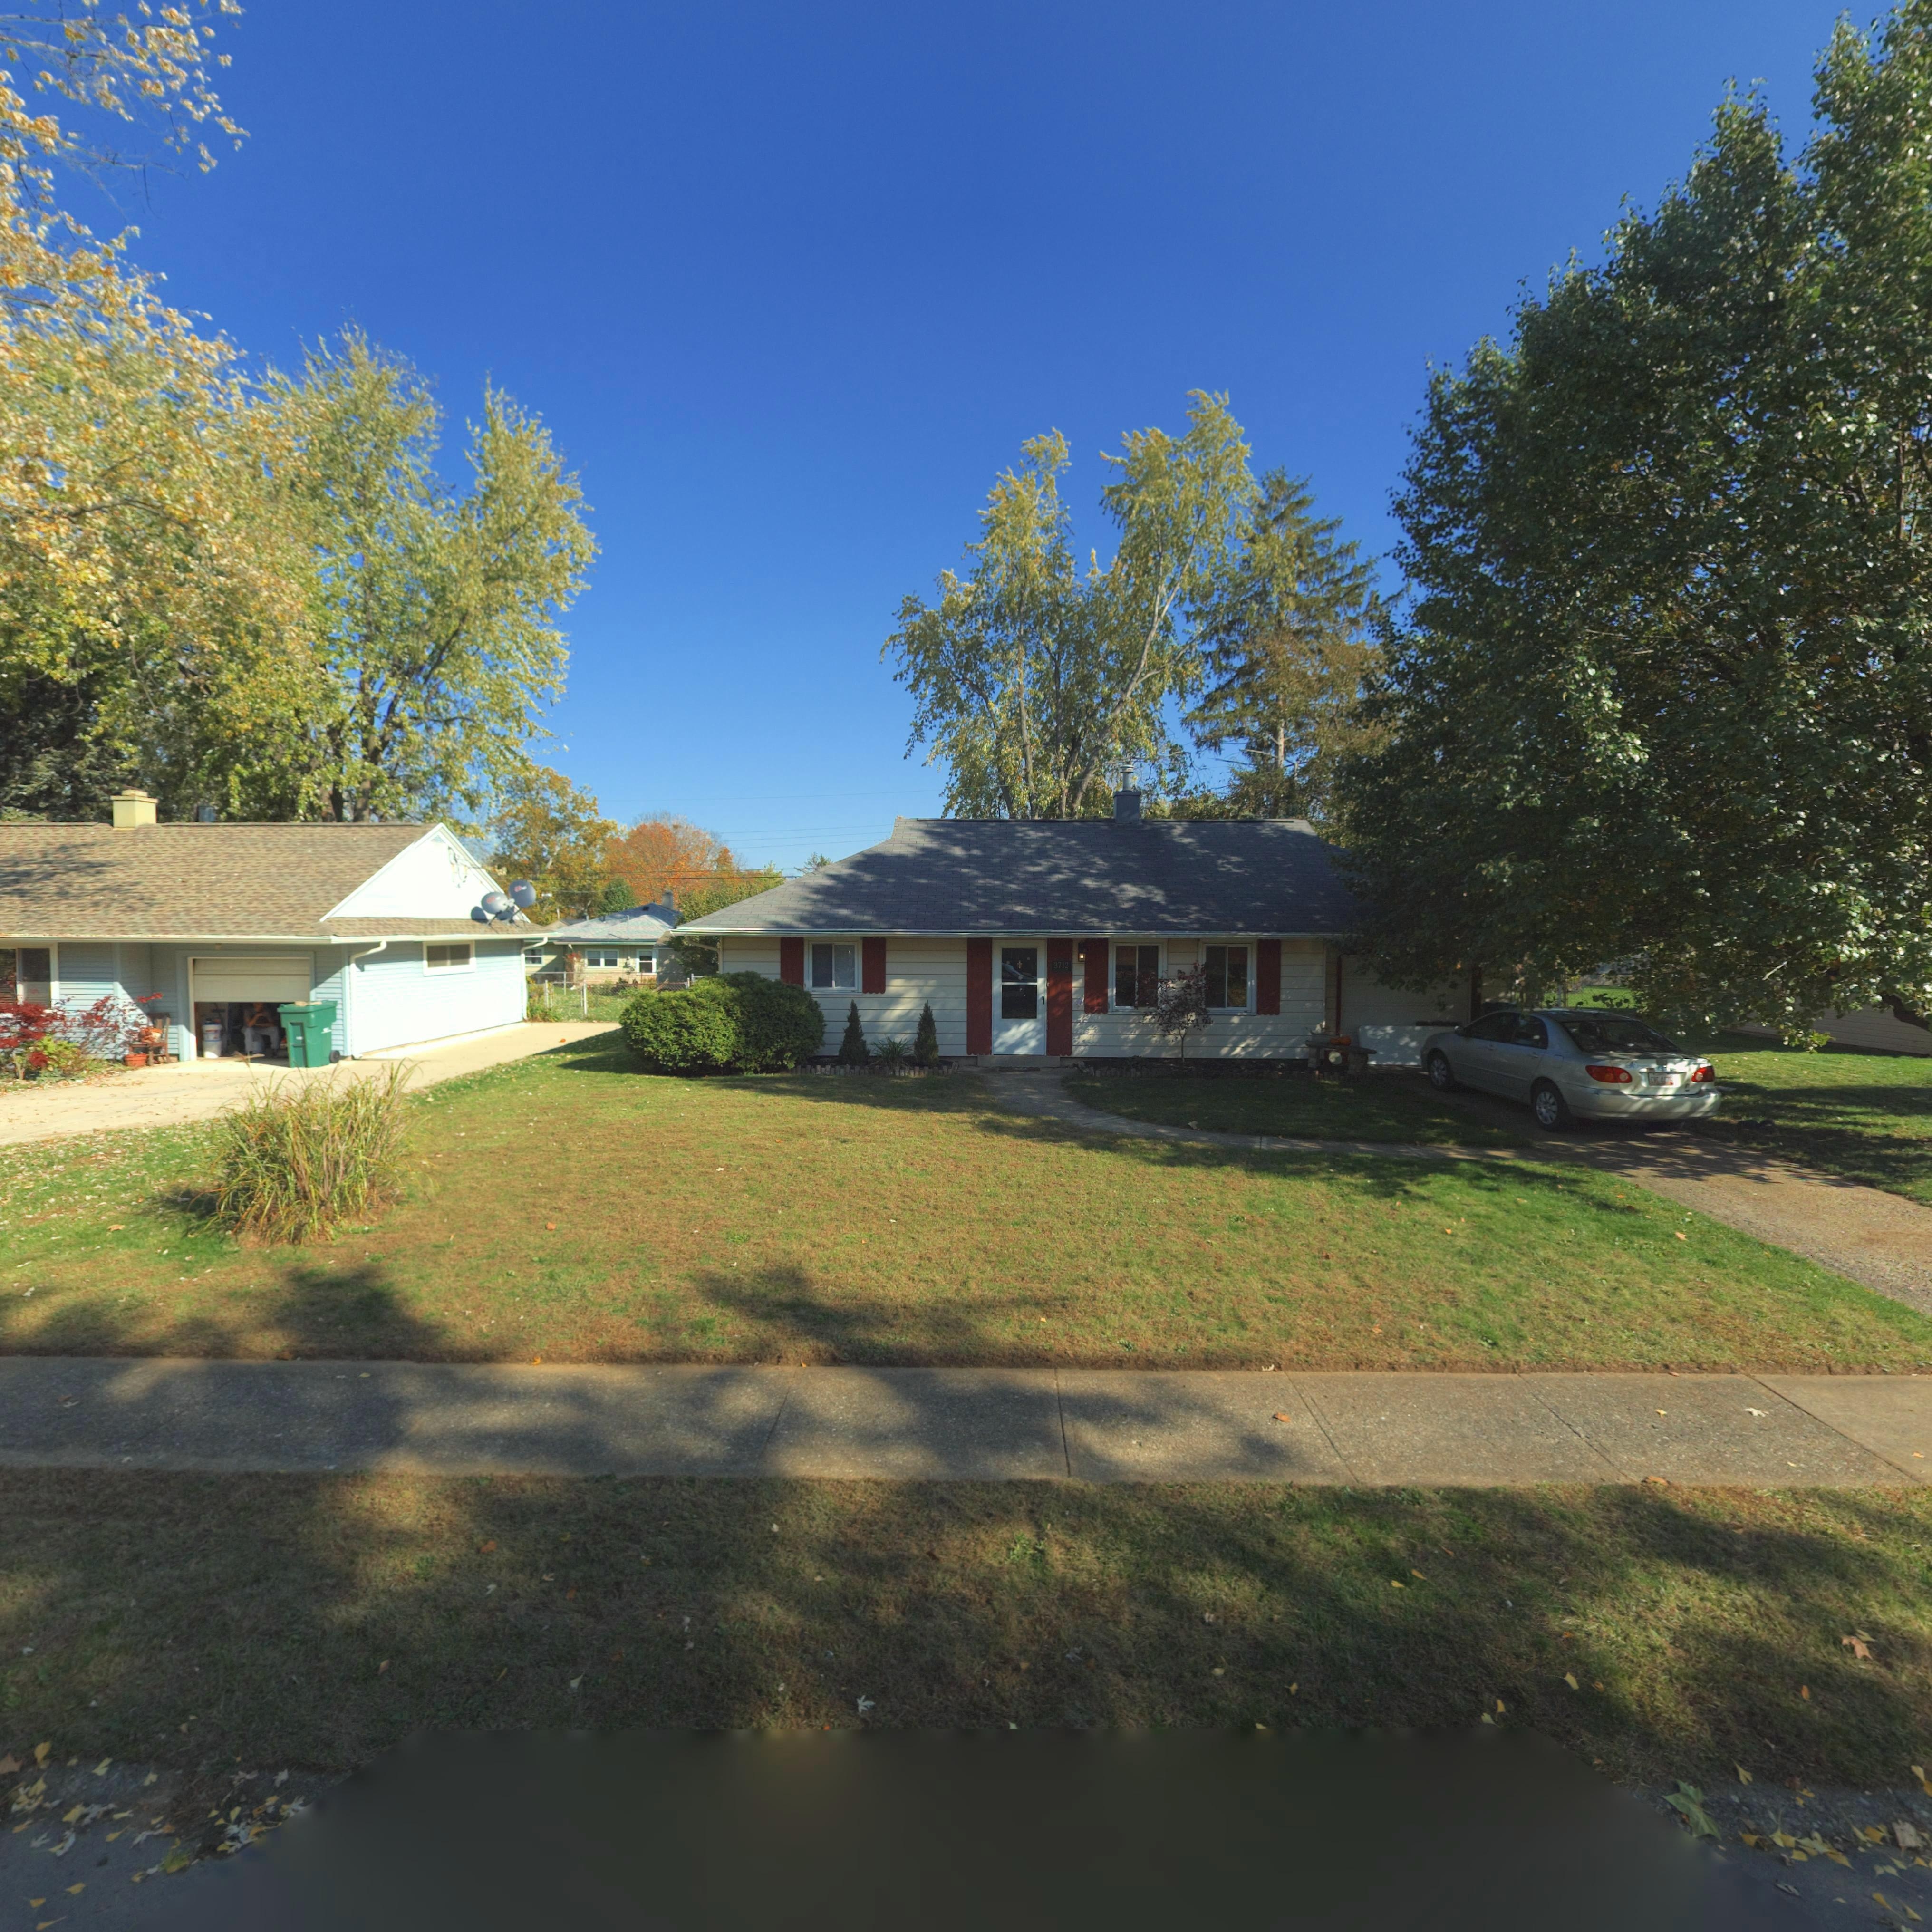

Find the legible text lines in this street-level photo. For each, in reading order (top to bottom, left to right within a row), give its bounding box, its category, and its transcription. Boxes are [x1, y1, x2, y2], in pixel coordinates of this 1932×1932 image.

[1053, 961, 1069, 969] StreetNumber: 3712